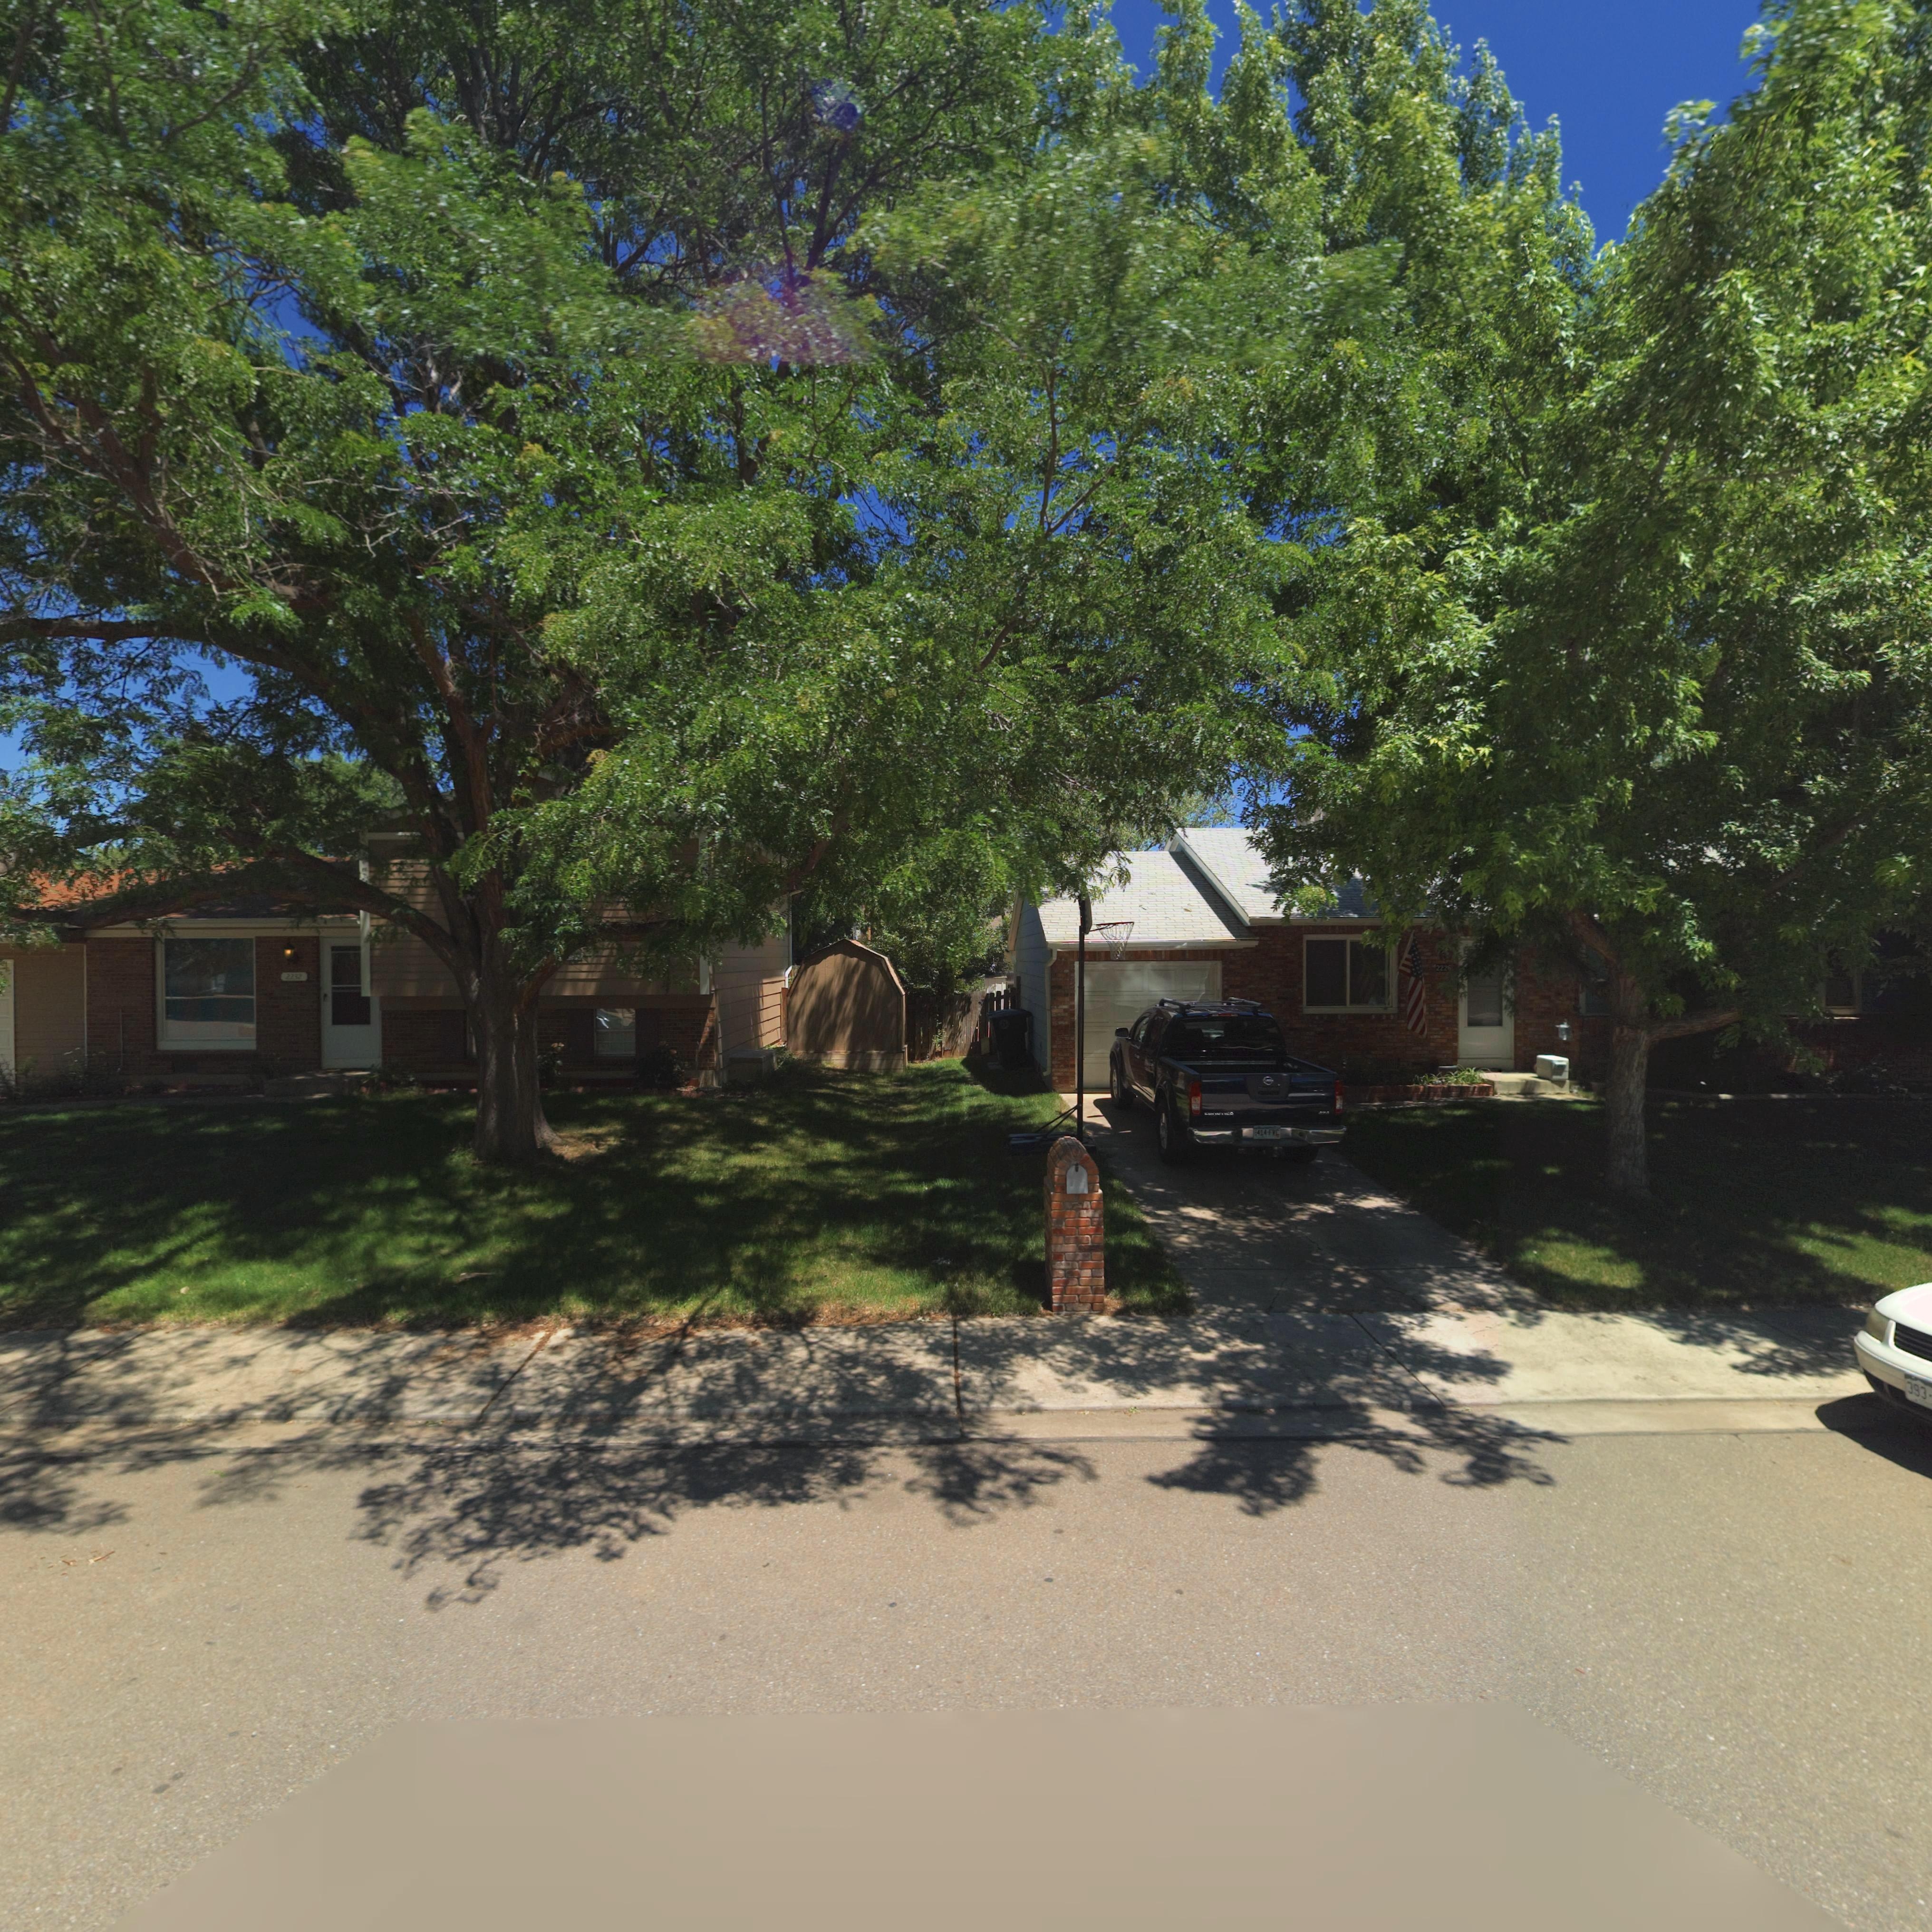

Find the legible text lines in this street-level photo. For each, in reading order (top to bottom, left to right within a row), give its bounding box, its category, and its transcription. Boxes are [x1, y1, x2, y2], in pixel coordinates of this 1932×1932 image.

[1435, 964, 1451, 971] StreetNumber: 2226
[284, 973, 302, 980] StreetNumber: 2232